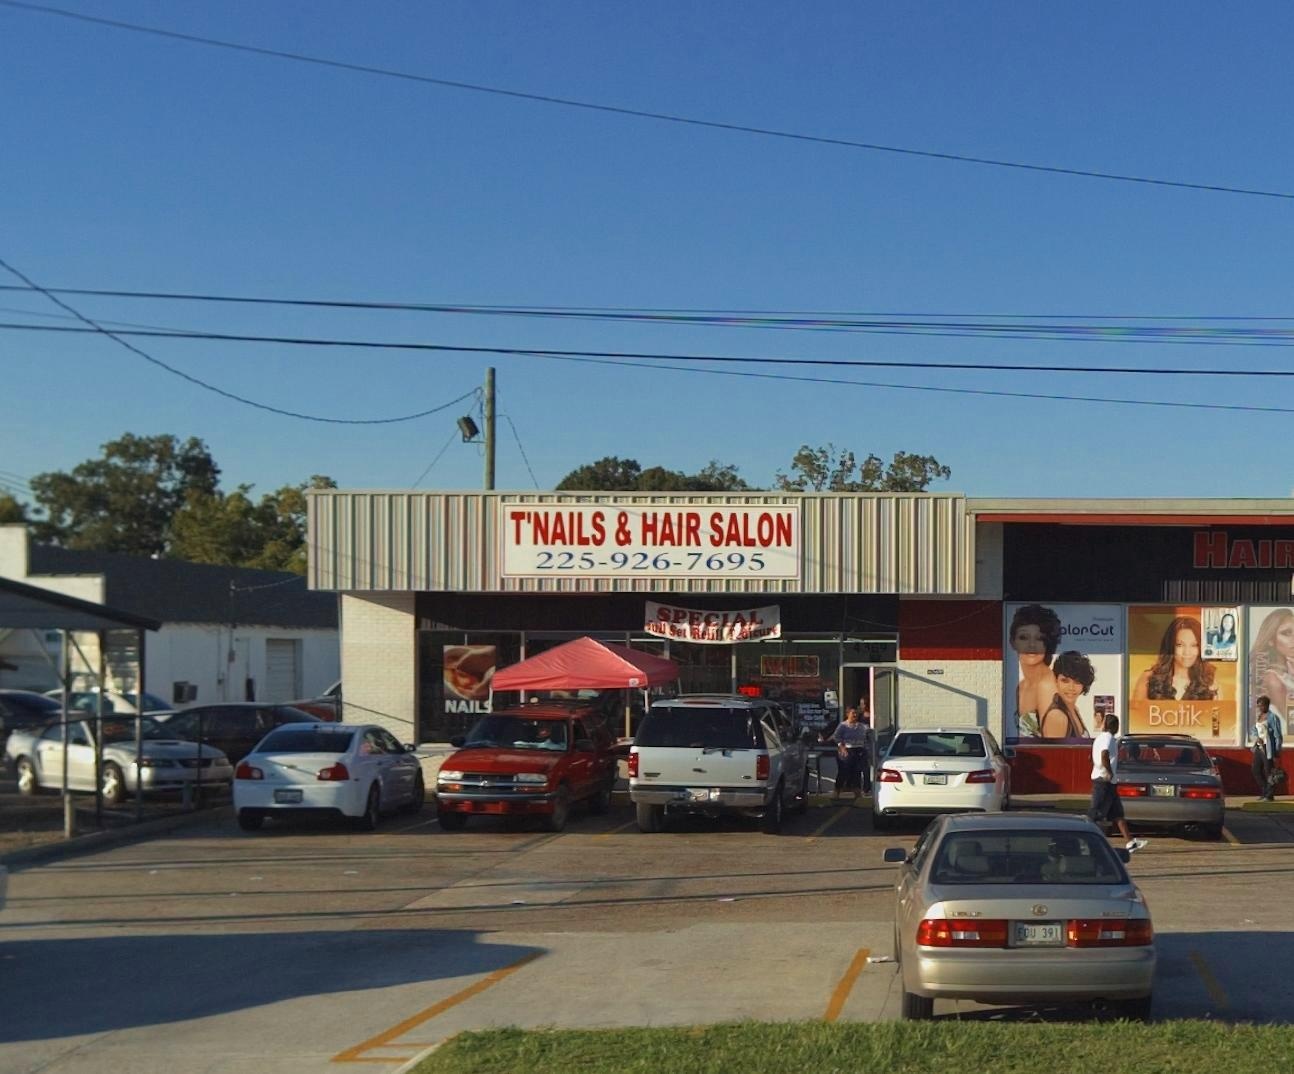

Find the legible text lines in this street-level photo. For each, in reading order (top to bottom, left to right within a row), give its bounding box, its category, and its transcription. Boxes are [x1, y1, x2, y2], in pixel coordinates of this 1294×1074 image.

[509, 510, 793, 548] BusinessName: T'NAILS & HAIR SALON
[1192, 529, 1273, 570] BusinessName: HAI
[535, 550, 766, 572] None: 225-926-7695
[655, 606, 765, 628] None: SPECIAL
[1057, 622, 1115, 636] None: alor Cut
[852, 642, 889, 654] StreetNumber: 4369
[762, 656, 818, 675] None: N*ILS
[1254, 649, 1271, 693] None: MILKY
[443, 699, 493, 715] None: NAIL*
[1148, 703, 1203, 727] None: Batik
[1016, 926, 1059, 940] None: F*U 391